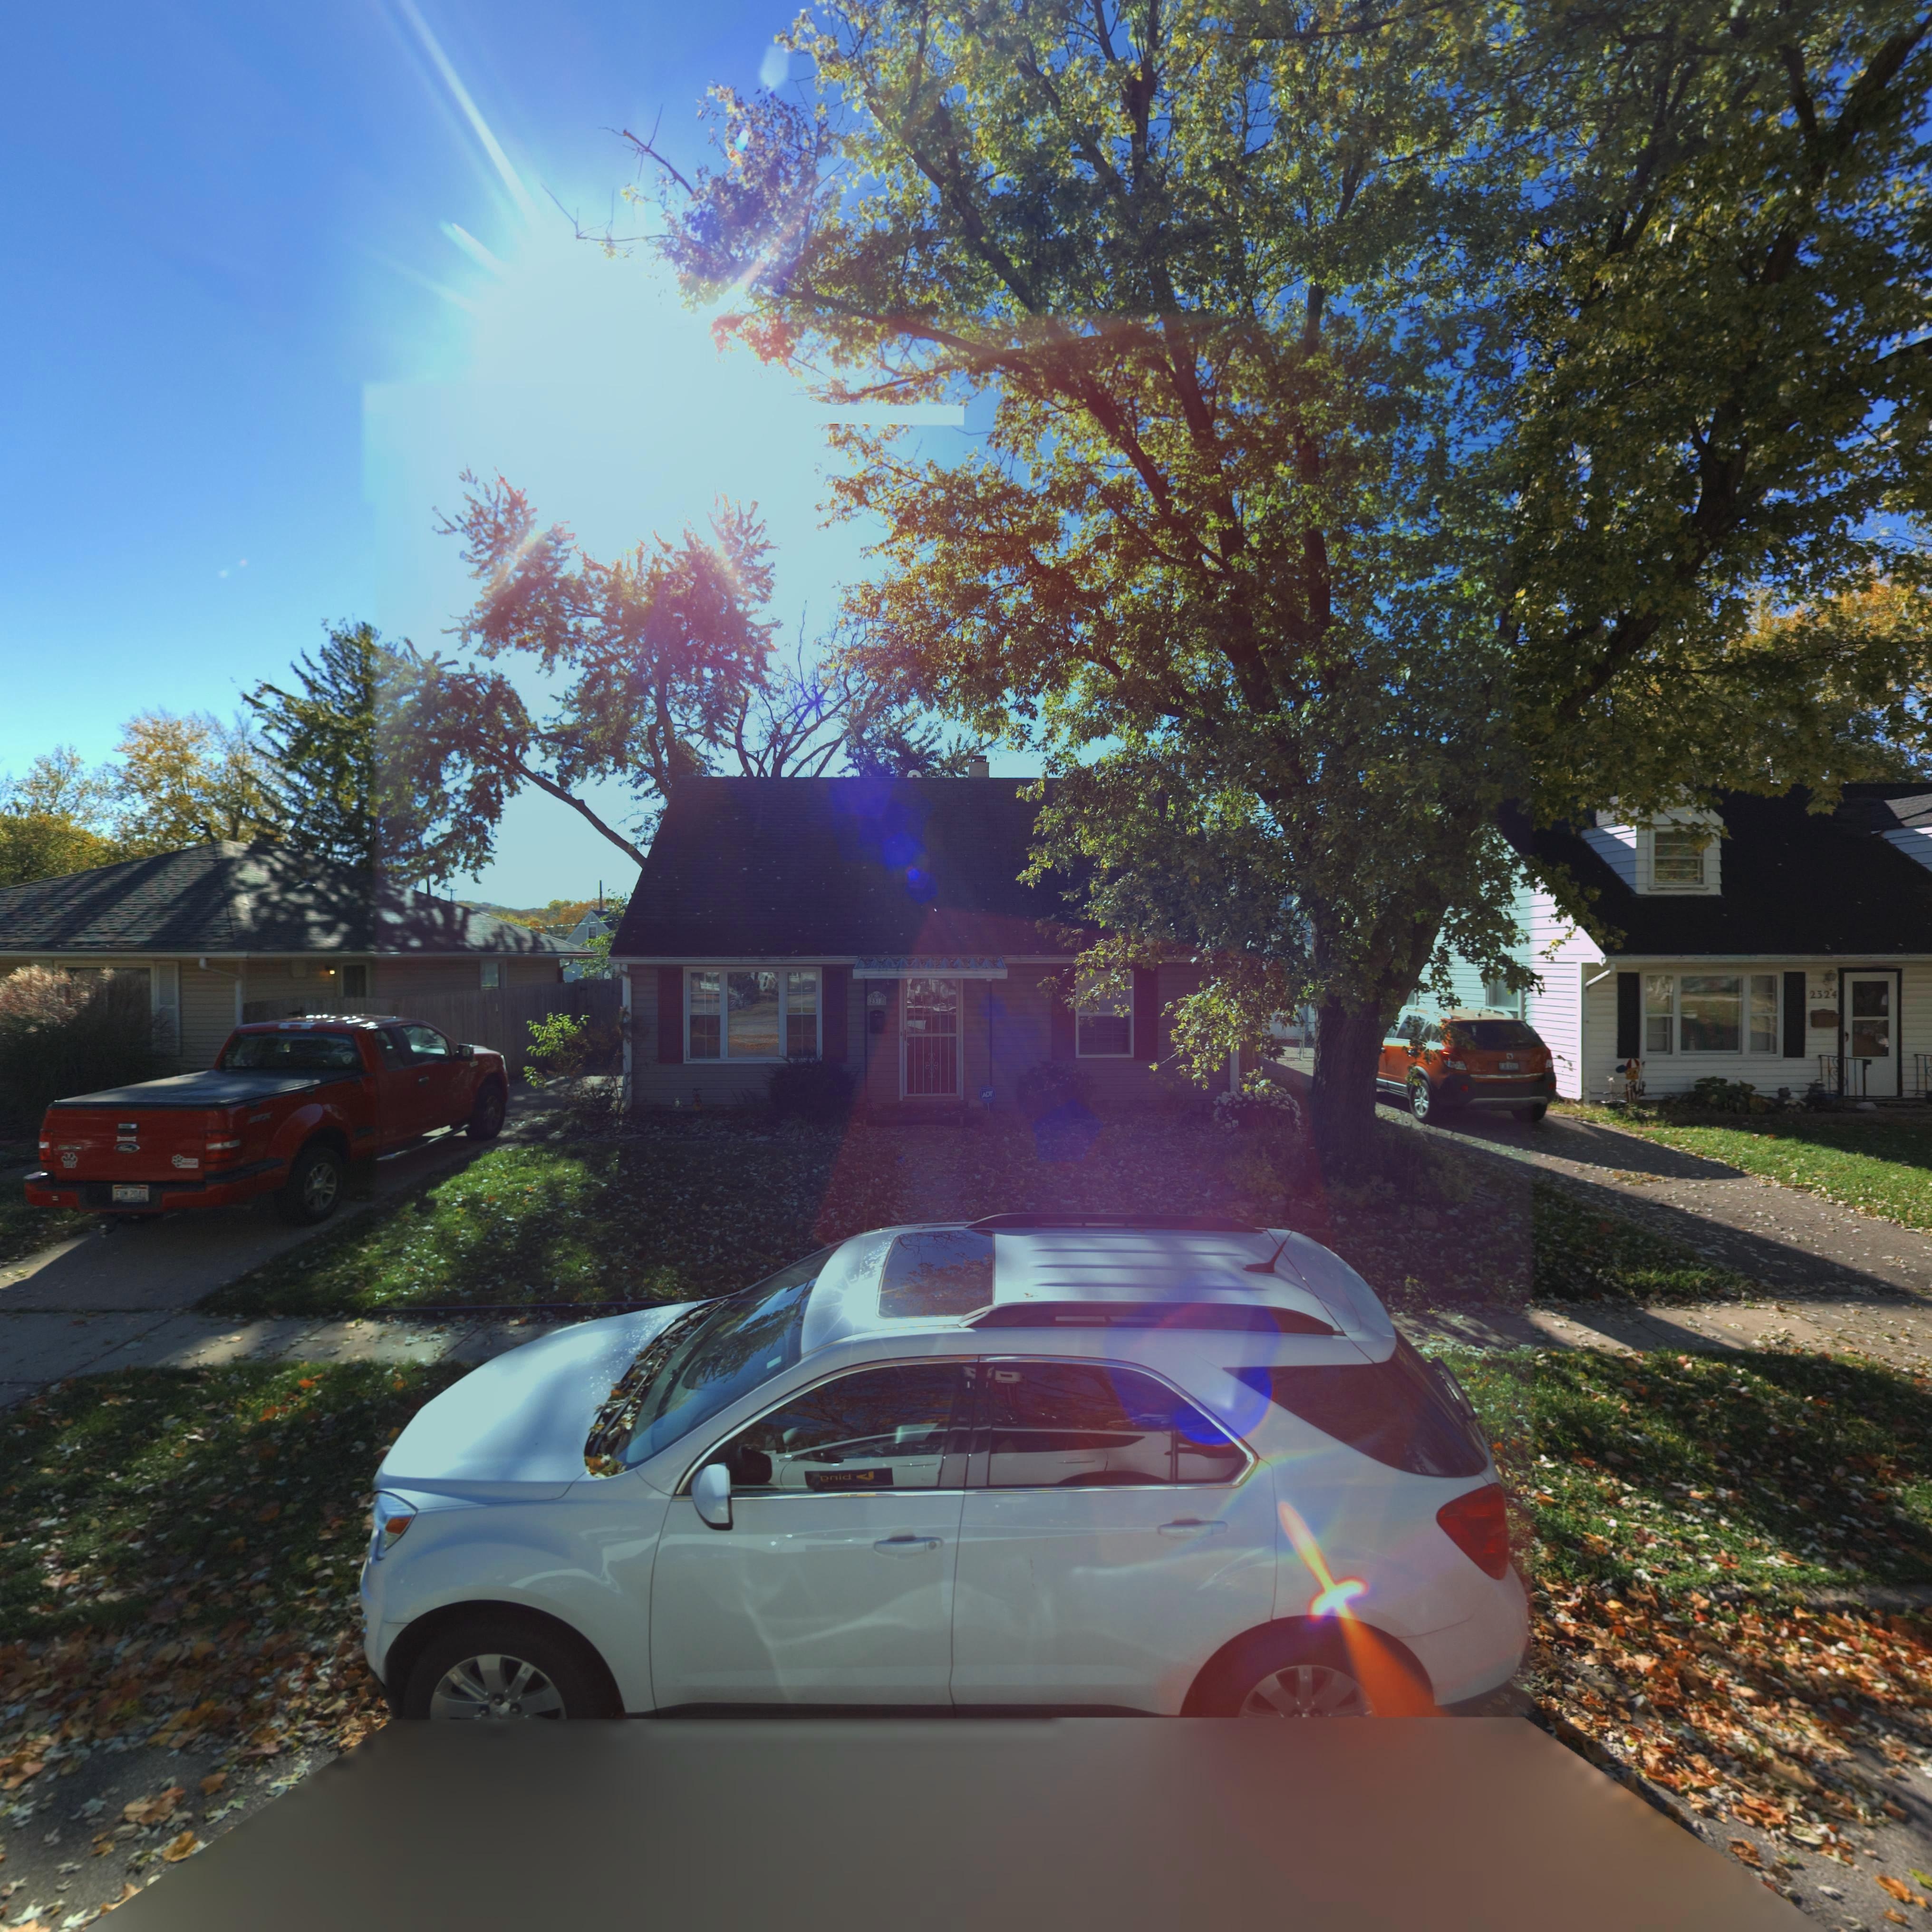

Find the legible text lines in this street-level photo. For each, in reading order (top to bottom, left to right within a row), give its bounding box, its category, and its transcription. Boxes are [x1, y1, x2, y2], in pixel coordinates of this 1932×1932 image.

[1809, 989, 1838, 1000] StreetNumber: 2324
[869, 998, 885, 1005] StreetNumber: 2*1*